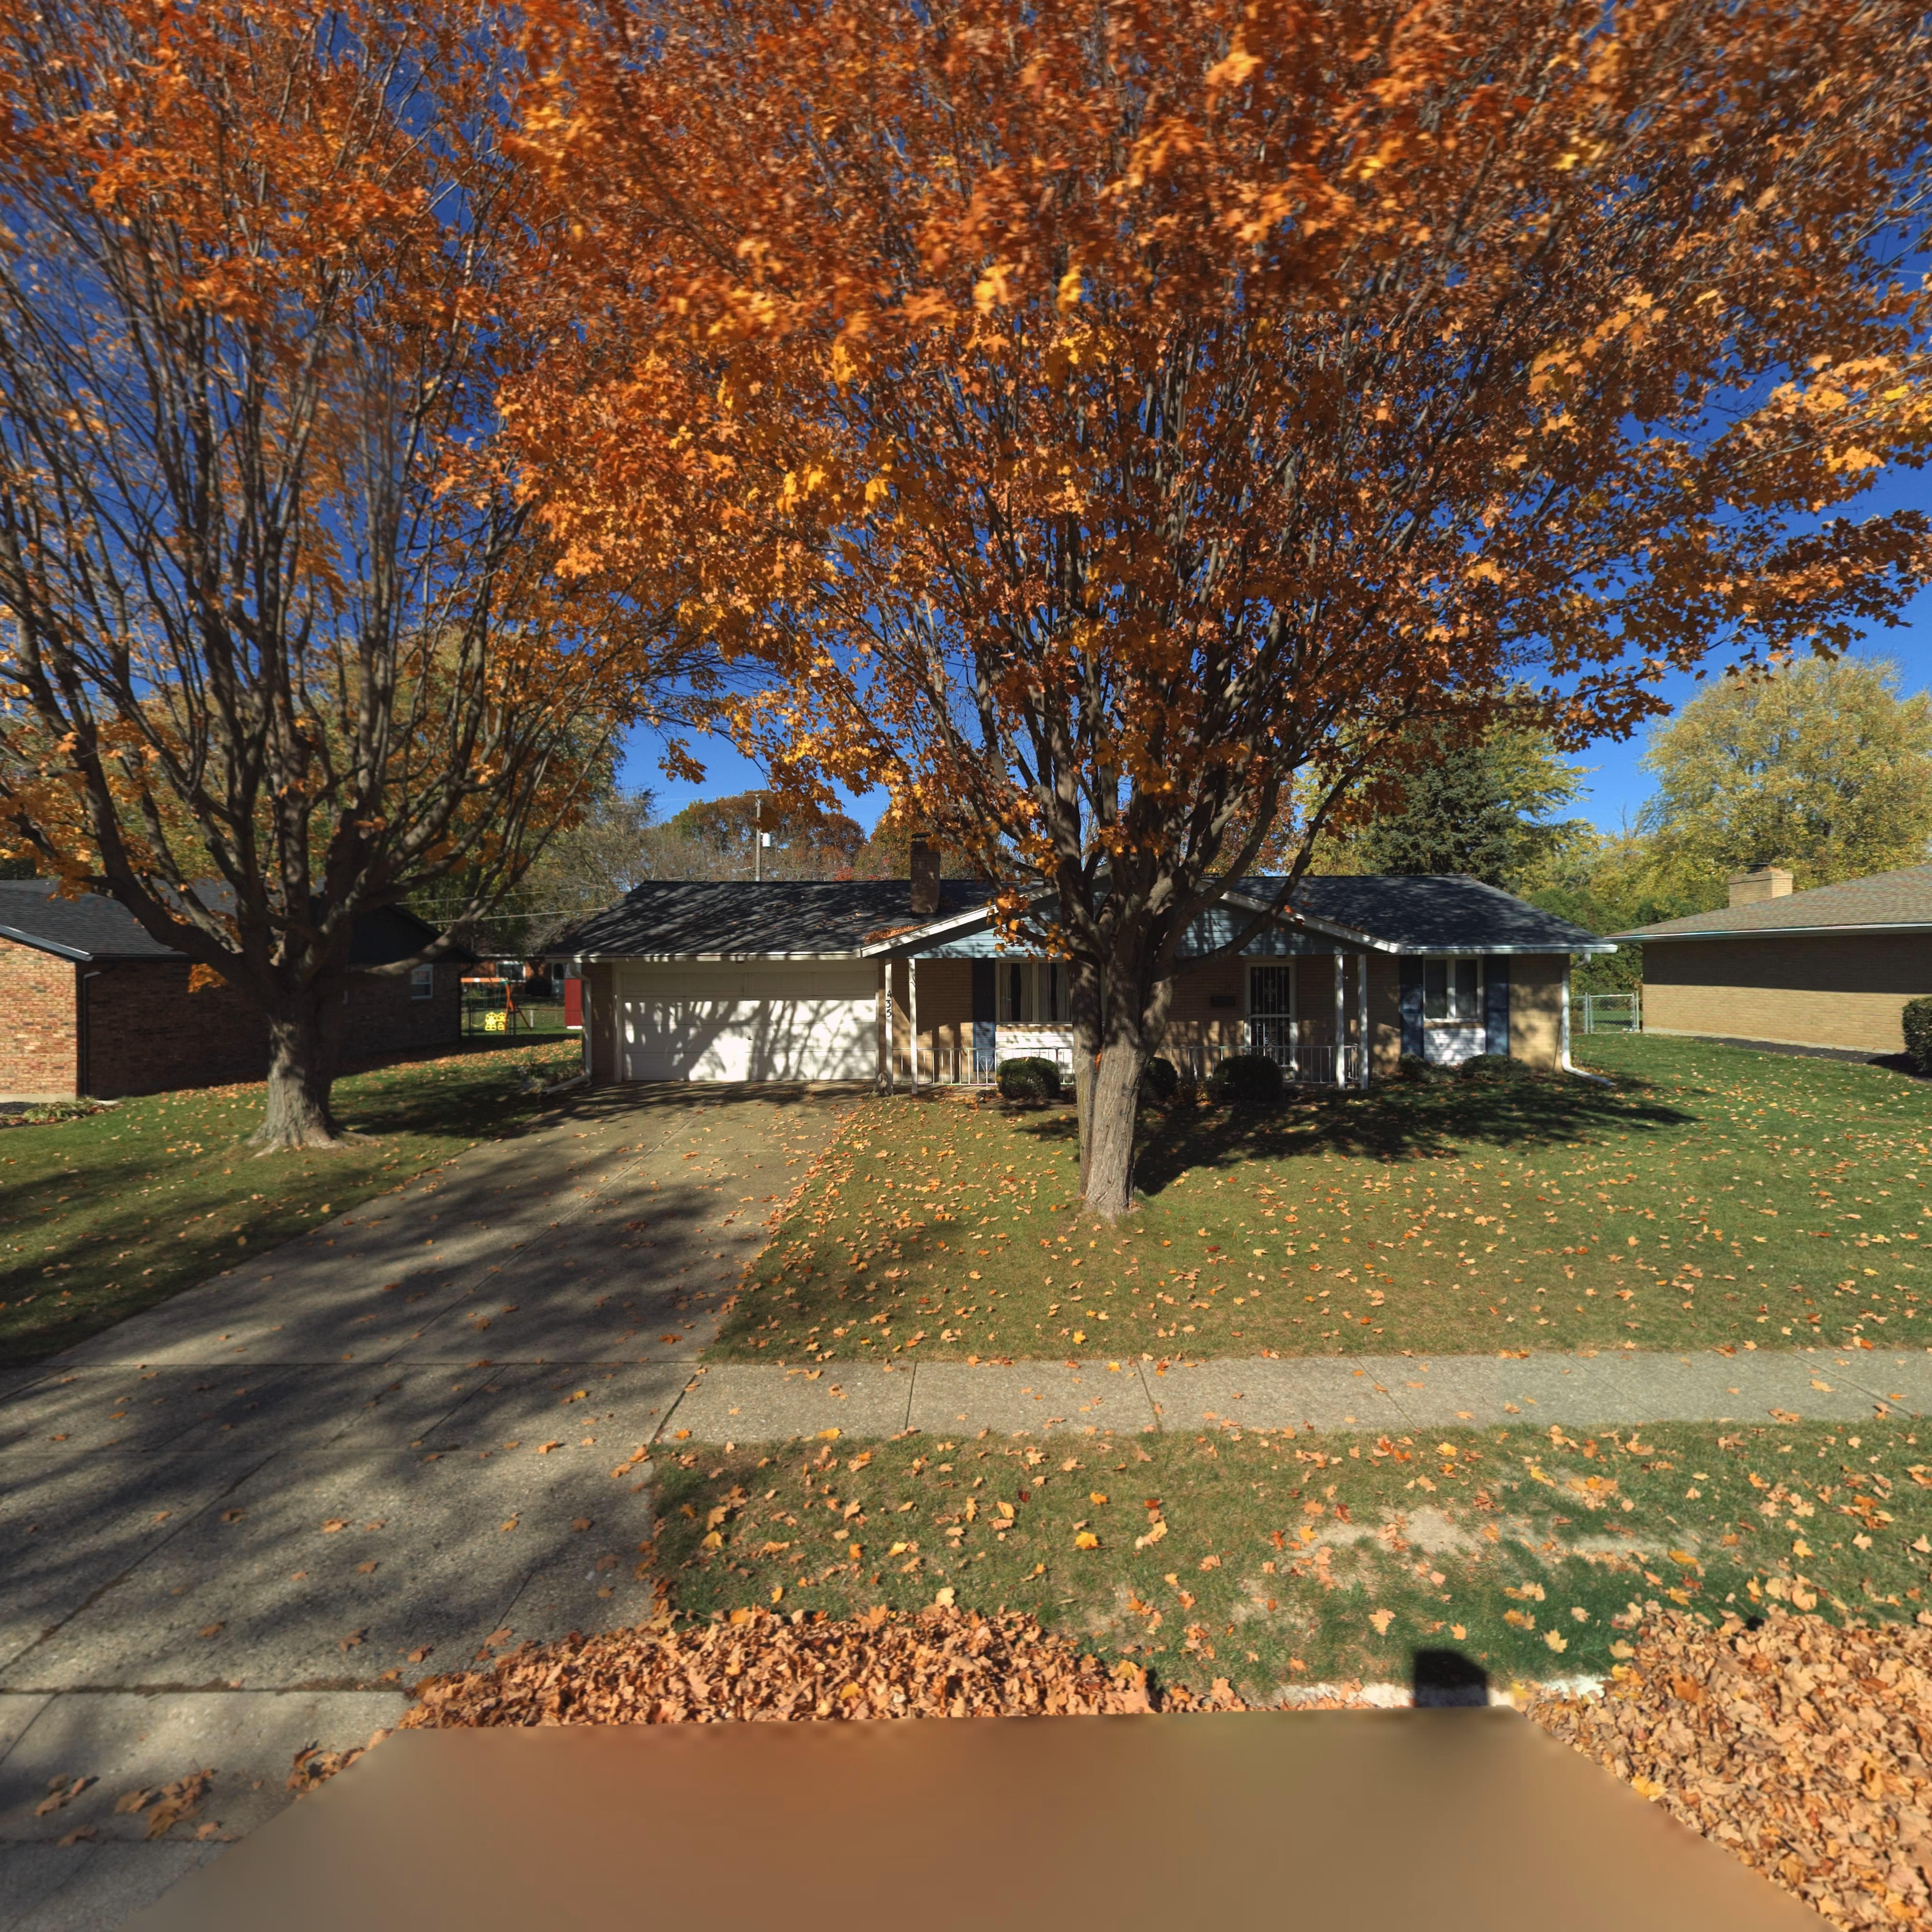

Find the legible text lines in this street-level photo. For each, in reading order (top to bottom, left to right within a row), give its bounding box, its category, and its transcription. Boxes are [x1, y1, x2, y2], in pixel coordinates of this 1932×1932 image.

[885, 988, 893, 1019] StreetNumber: 435